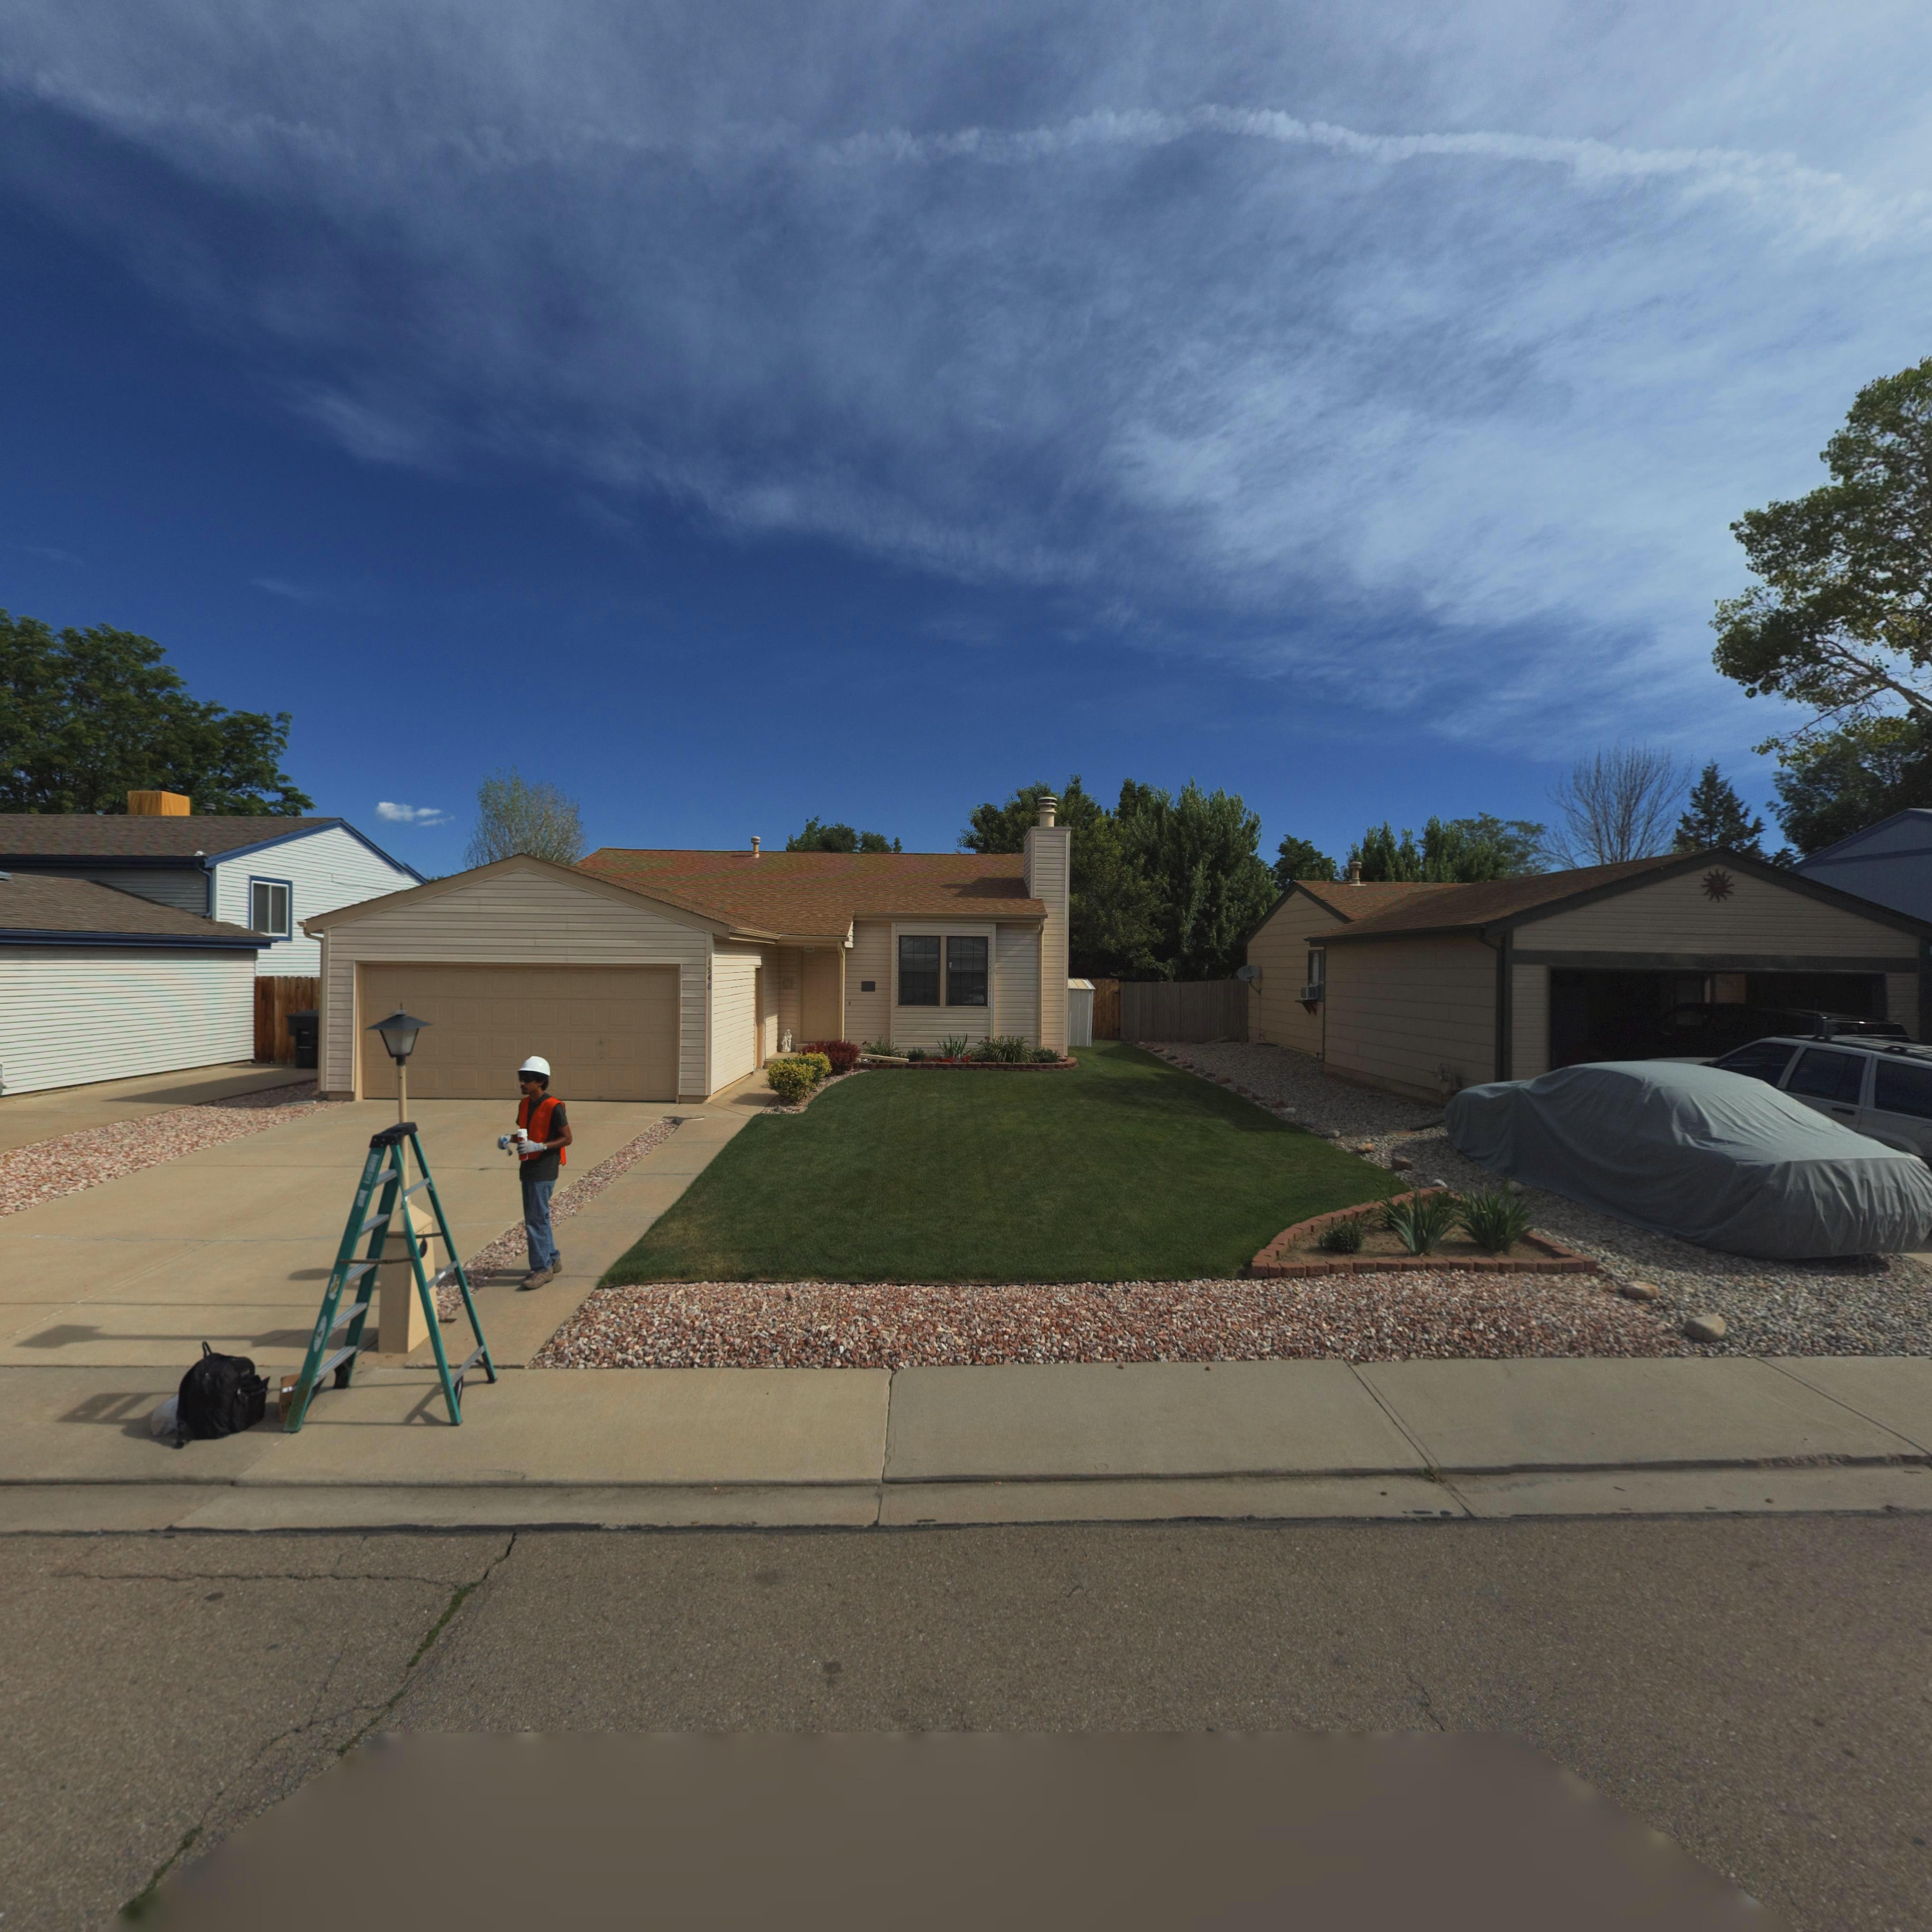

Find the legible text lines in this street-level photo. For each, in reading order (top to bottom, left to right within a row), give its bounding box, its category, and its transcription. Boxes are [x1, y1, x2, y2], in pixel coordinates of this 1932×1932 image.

[707, 958, 711, 990] StreetNumber: 1548